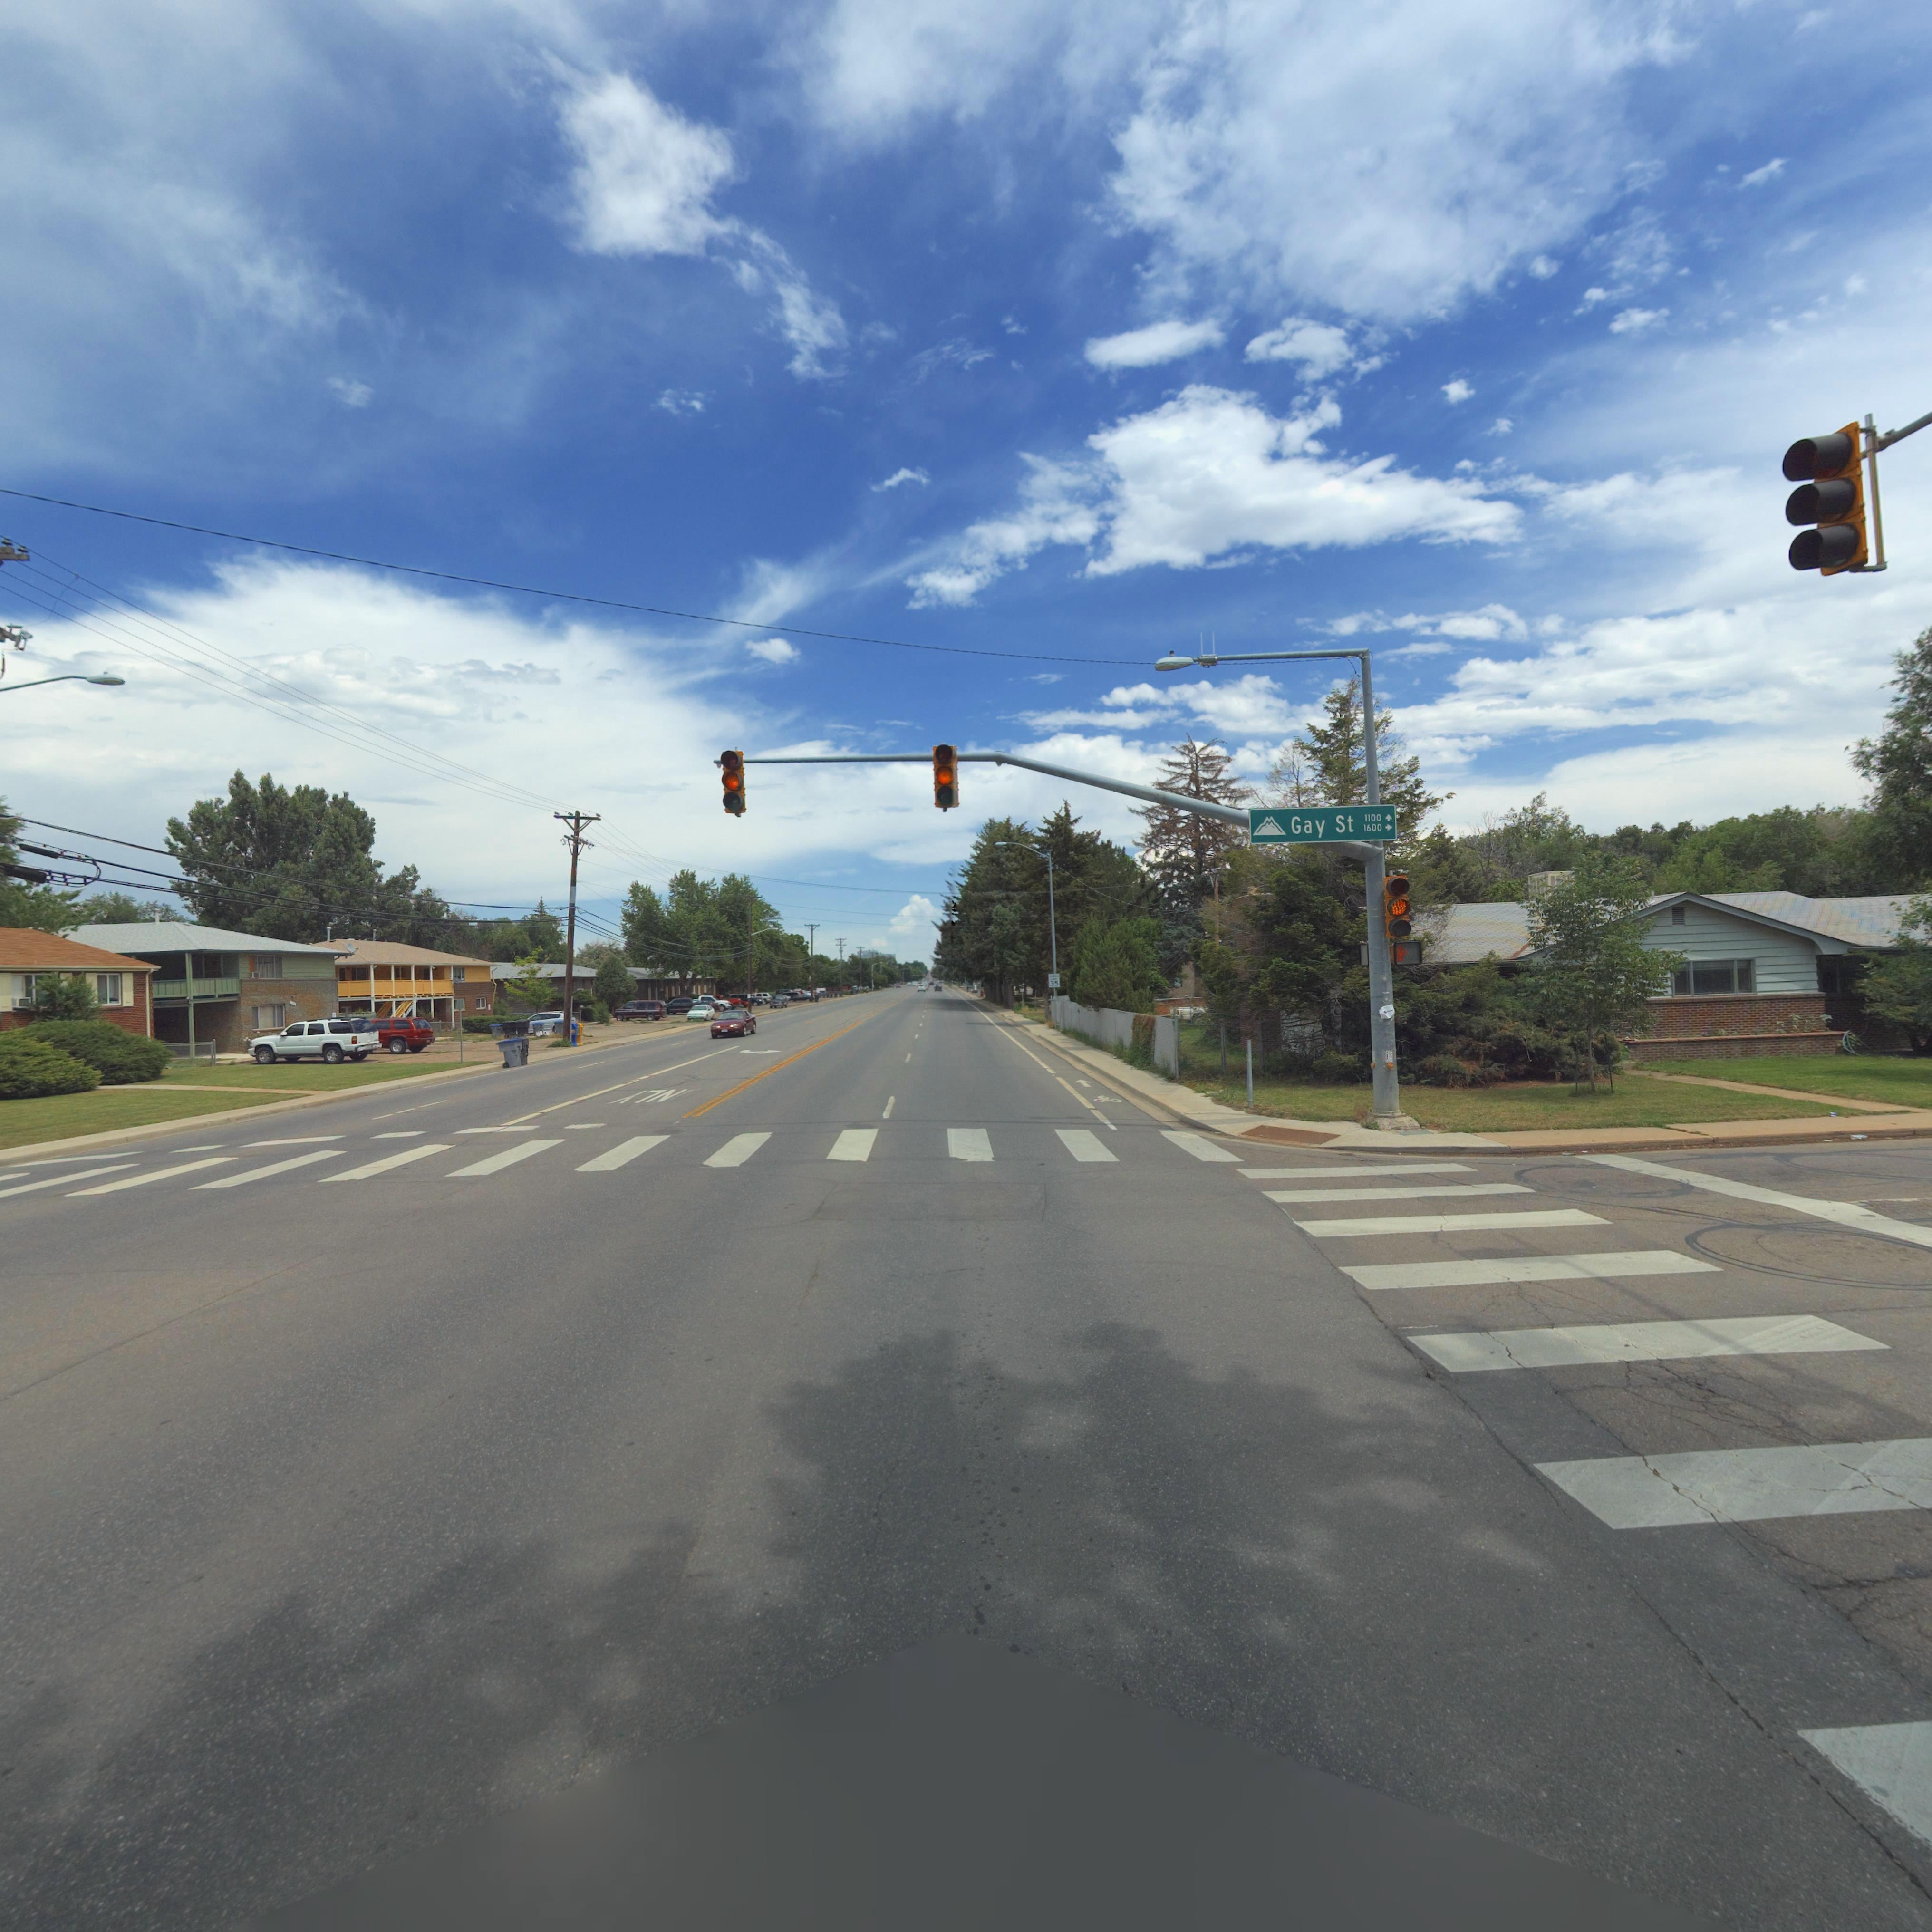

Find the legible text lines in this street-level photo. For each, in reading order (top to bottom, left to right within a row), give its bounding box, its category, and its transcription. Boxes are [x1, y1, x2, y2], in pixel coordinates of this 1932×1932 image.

[1364, 813, 1382, 822] StreetNumberRange: 1100
[1290, 814, 1355, 839] StreetName: Gay St
[1362, 823, 1393, 832] StreetNumberRange: 1600->